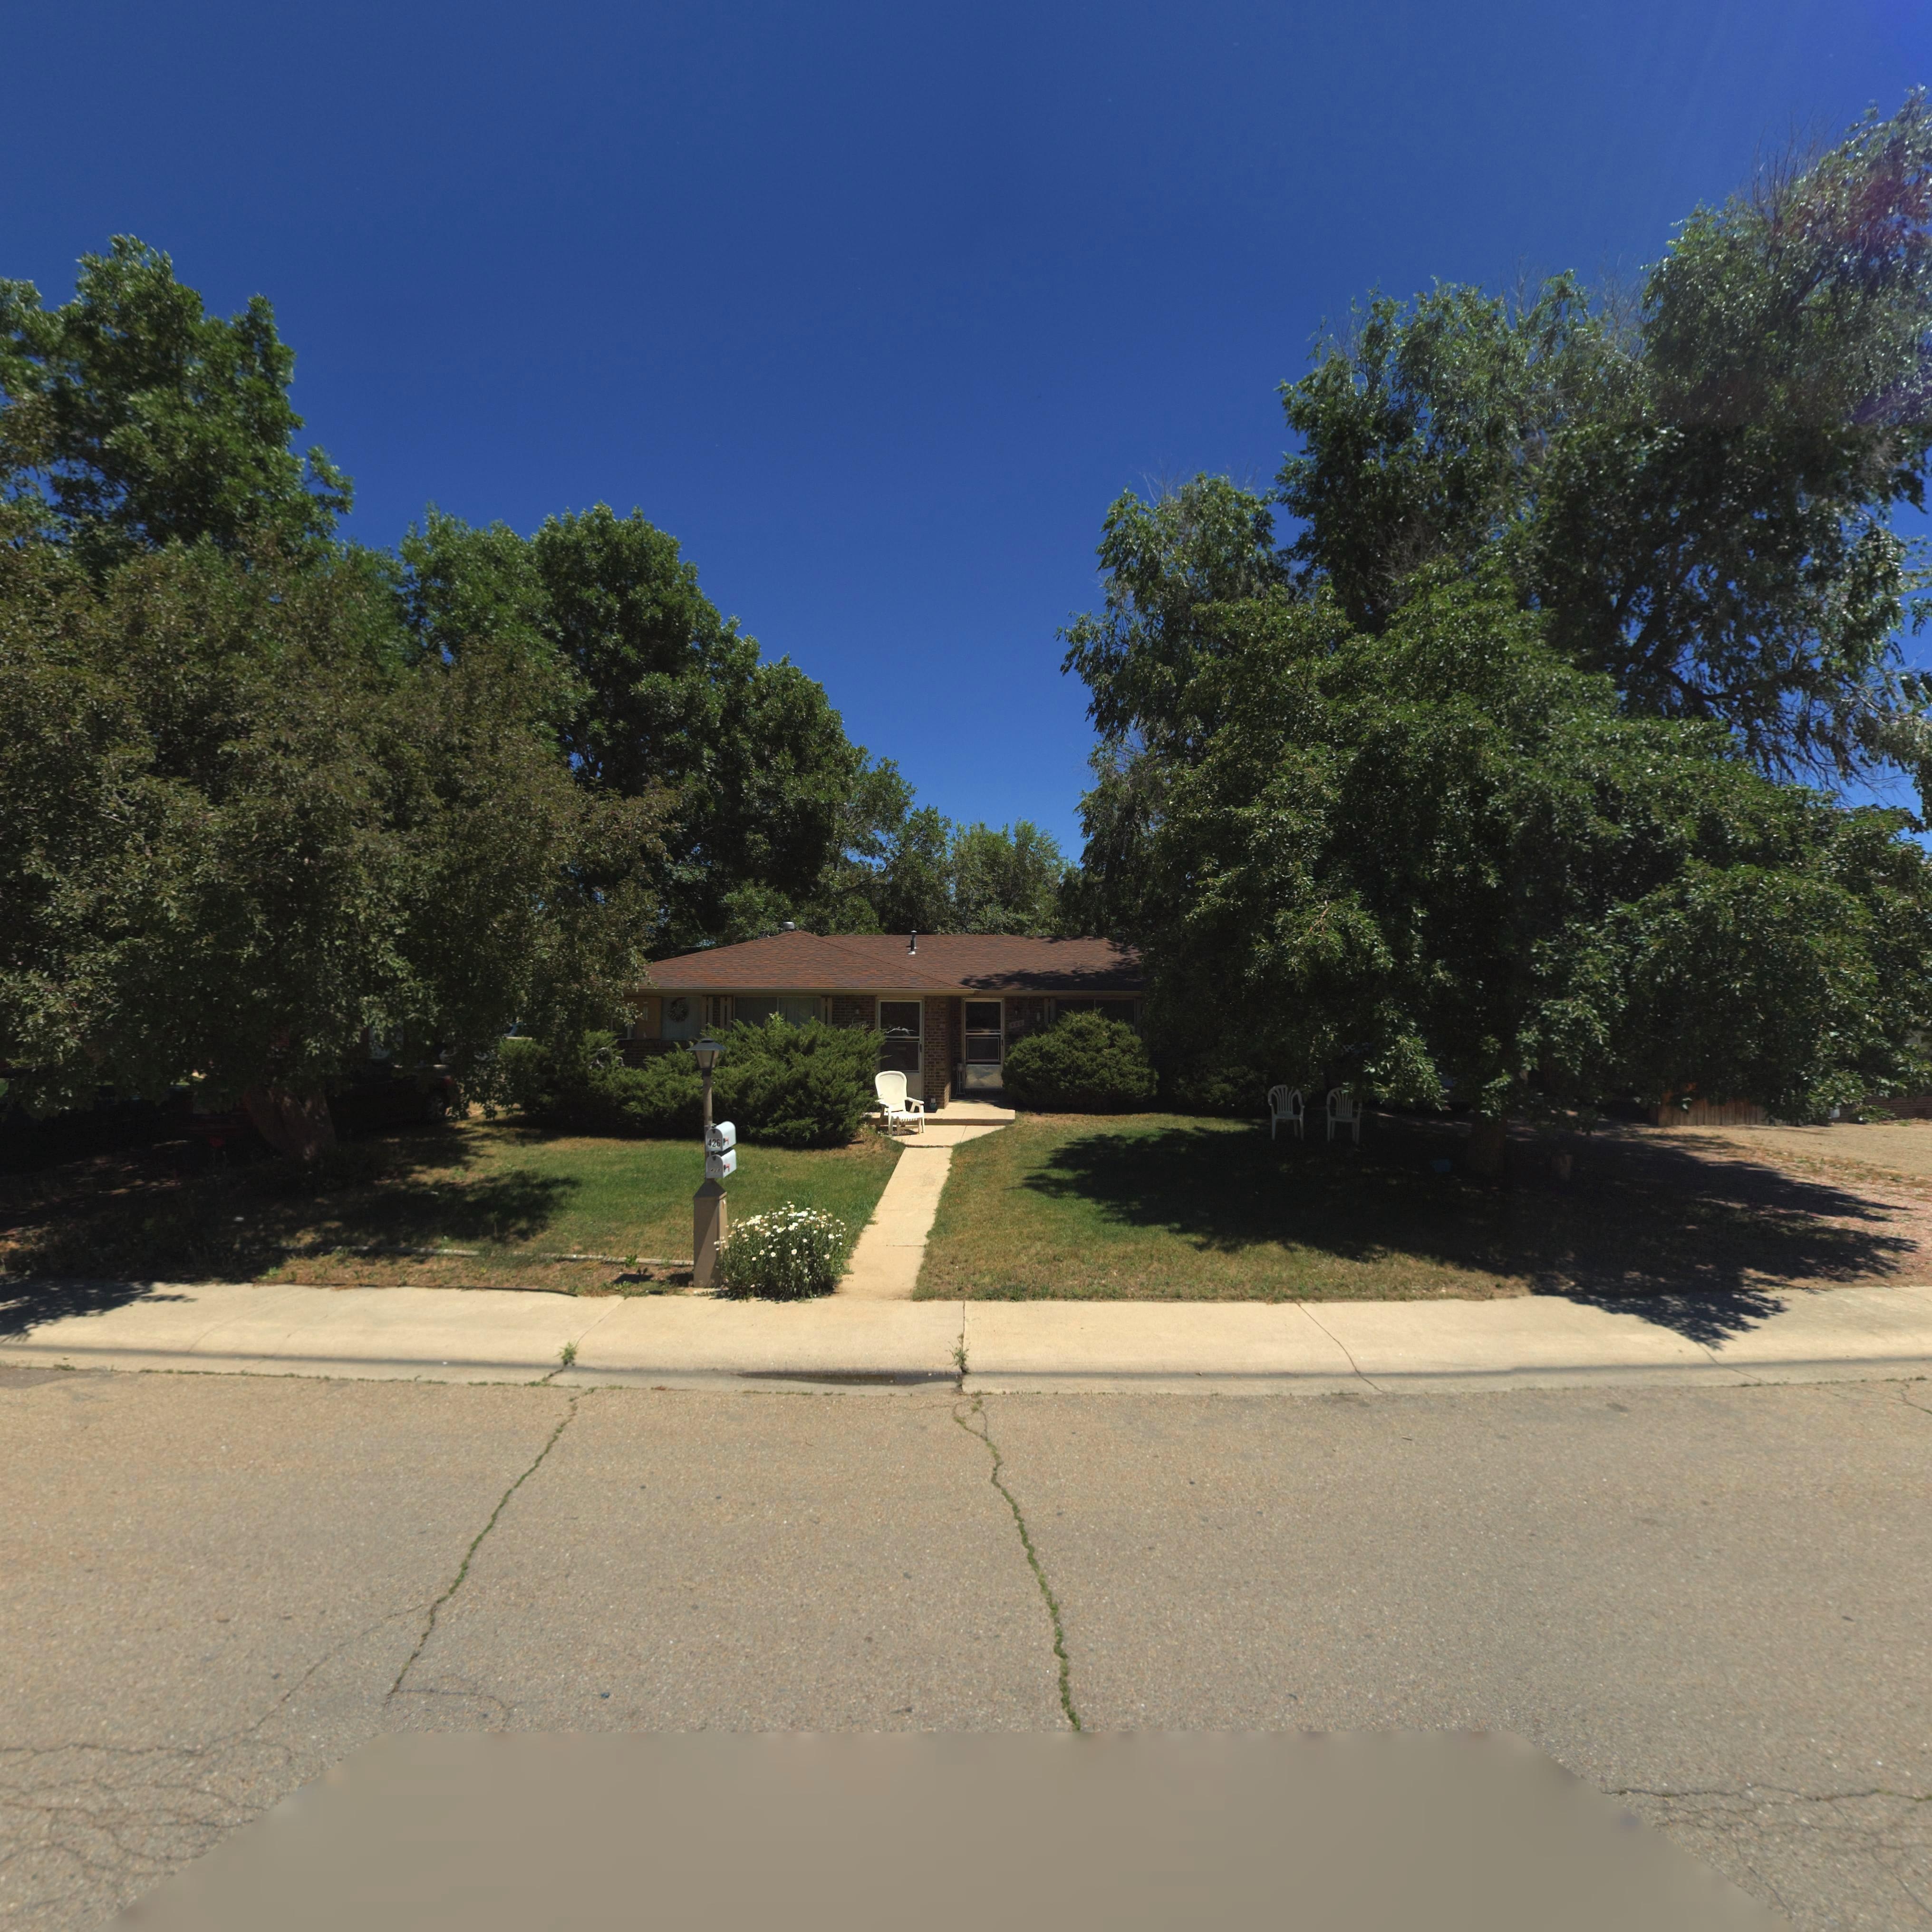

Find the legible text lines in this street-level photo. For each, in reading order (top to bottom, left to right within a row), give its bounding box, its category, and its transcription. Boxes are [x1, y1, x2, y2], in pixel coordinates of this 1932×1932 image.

[1010, 1020, 1023, 1027] StreetNumber: 426
[707, 1138, 720, 1147] StreetNumber: 426
[710, 1168, 720, 1172] StreetNumber: **6